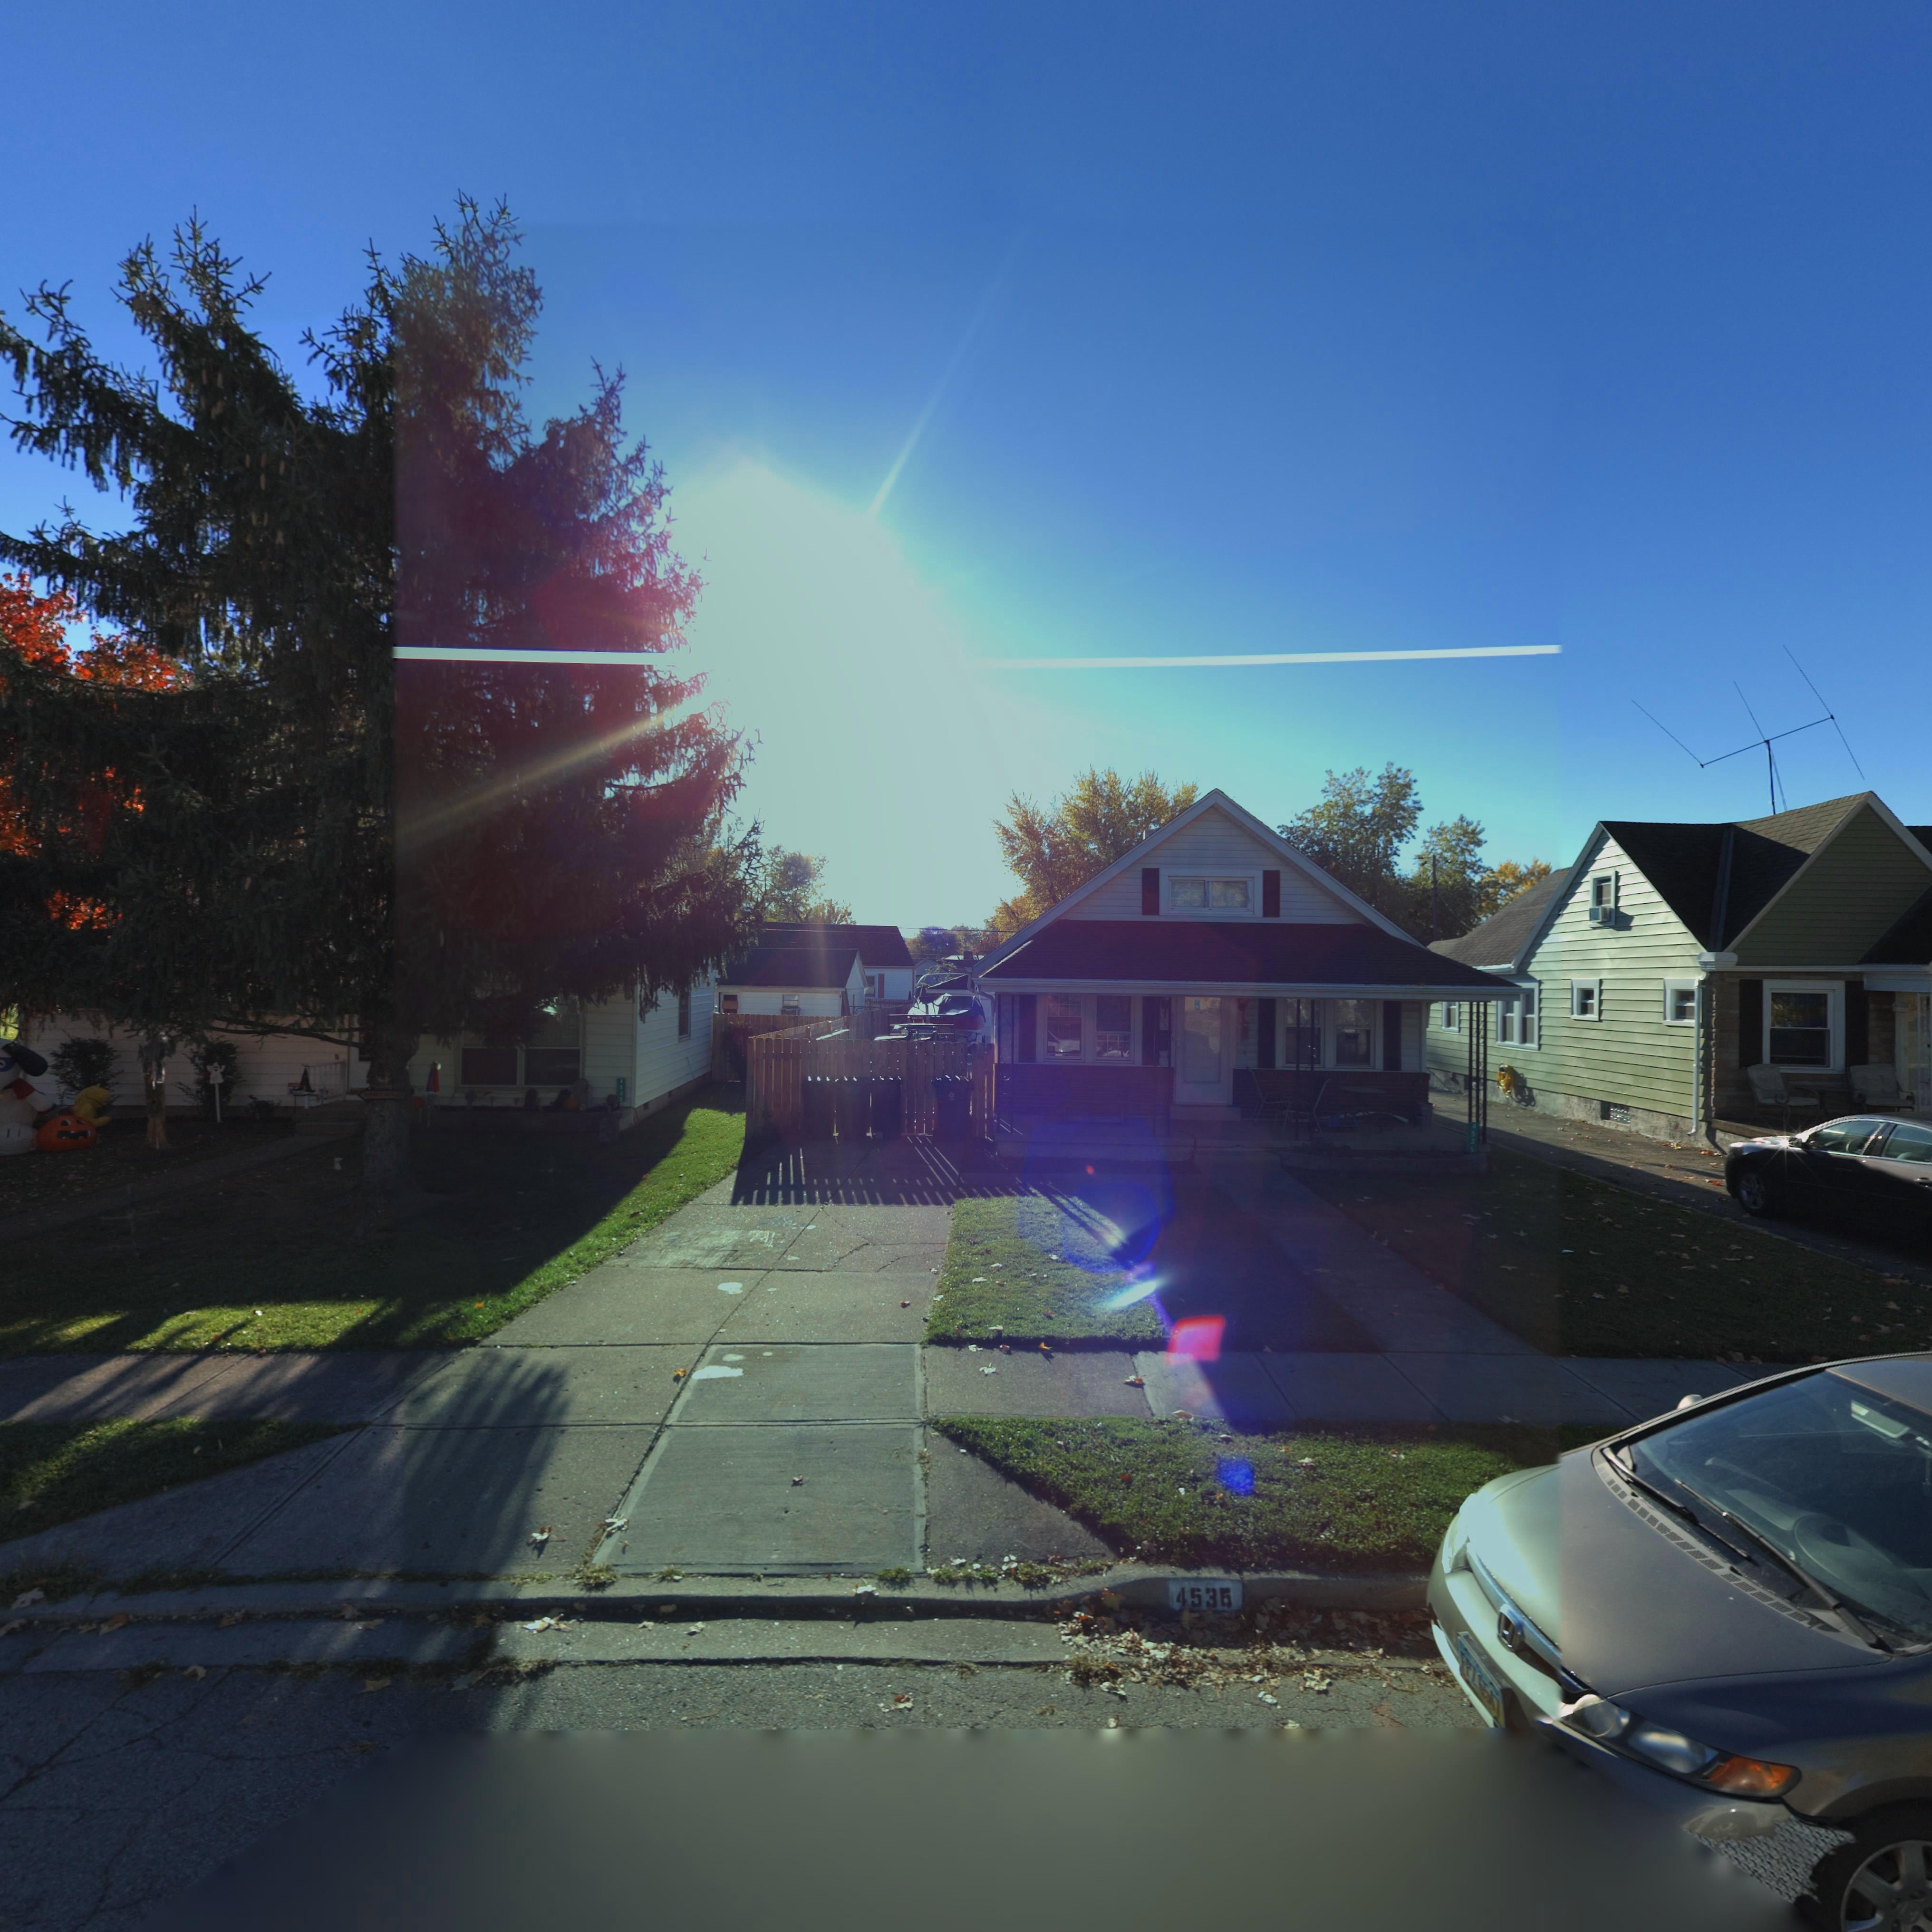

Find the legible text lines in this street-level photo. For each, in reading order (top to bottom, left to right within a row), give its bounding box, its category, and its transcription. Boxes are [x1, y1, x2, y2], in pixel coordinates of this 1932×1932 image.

[619, 1078, 624, 1102] StreetNumber: 4532